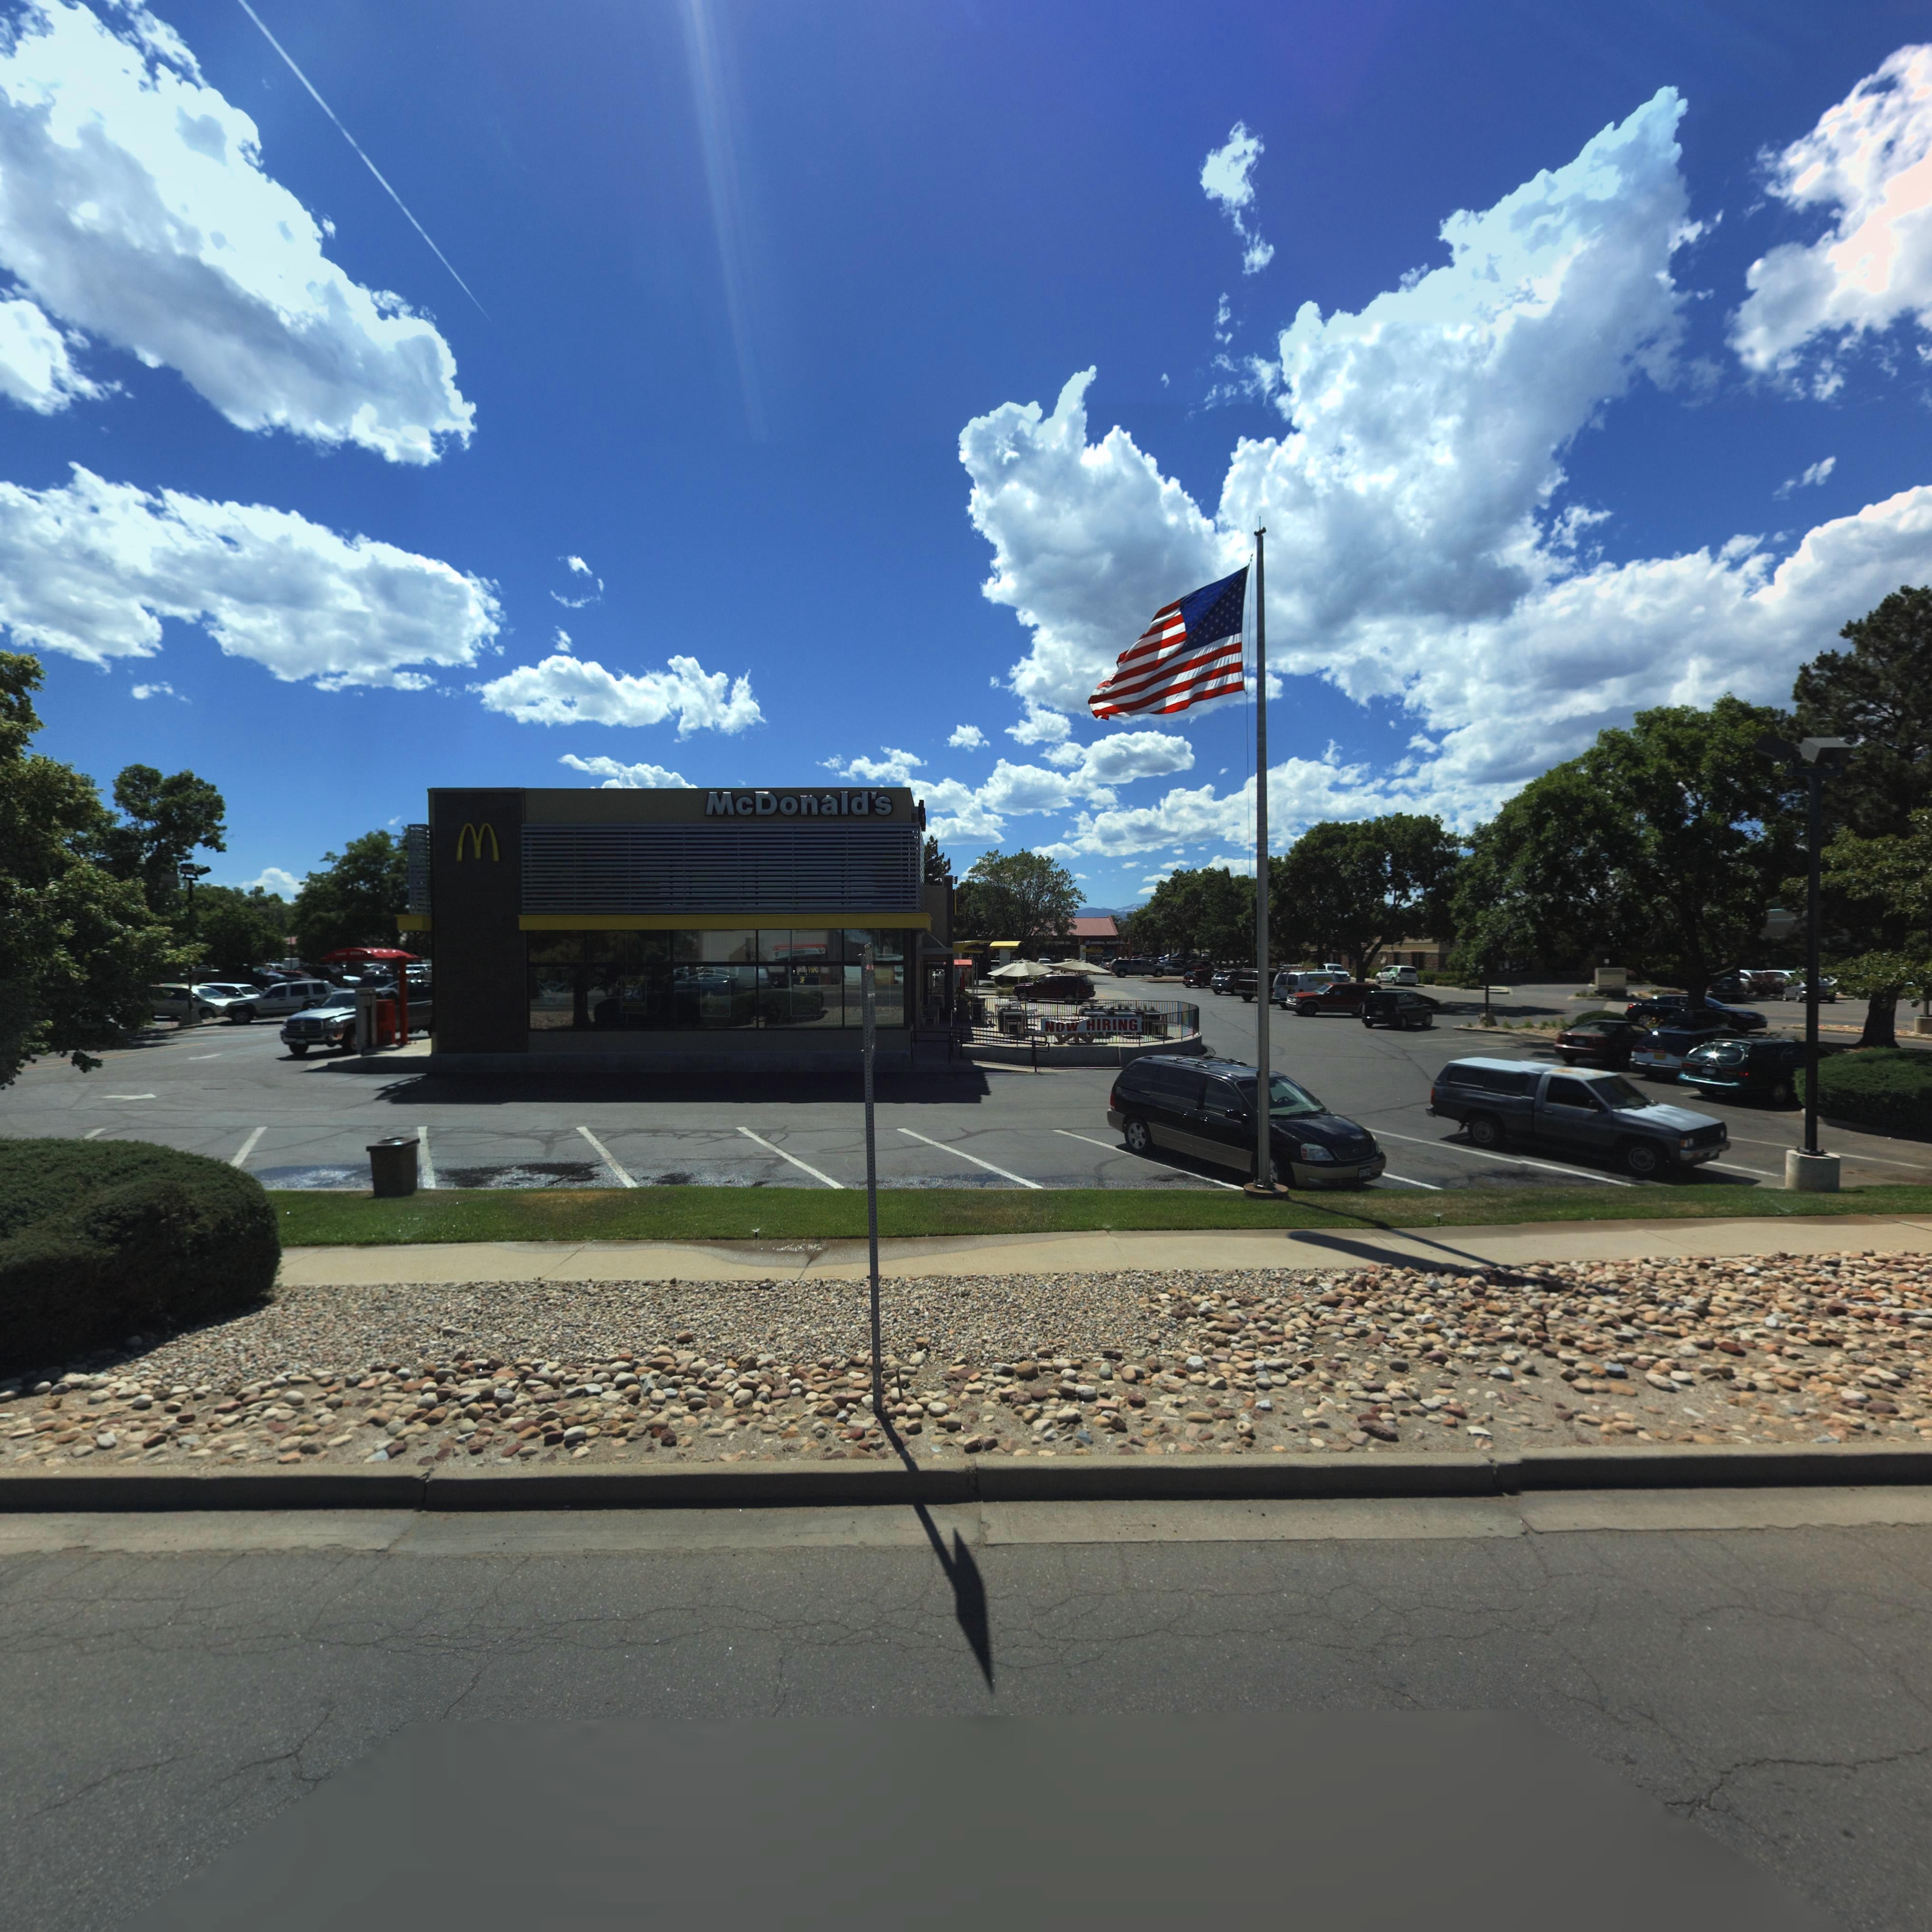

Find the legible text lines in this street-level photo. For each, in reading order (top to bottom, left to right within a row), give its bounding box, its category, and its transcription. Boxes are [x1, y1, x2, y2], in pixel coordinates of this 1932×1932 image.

[706, 790, 891, 814] BusinessName: McDonald*s